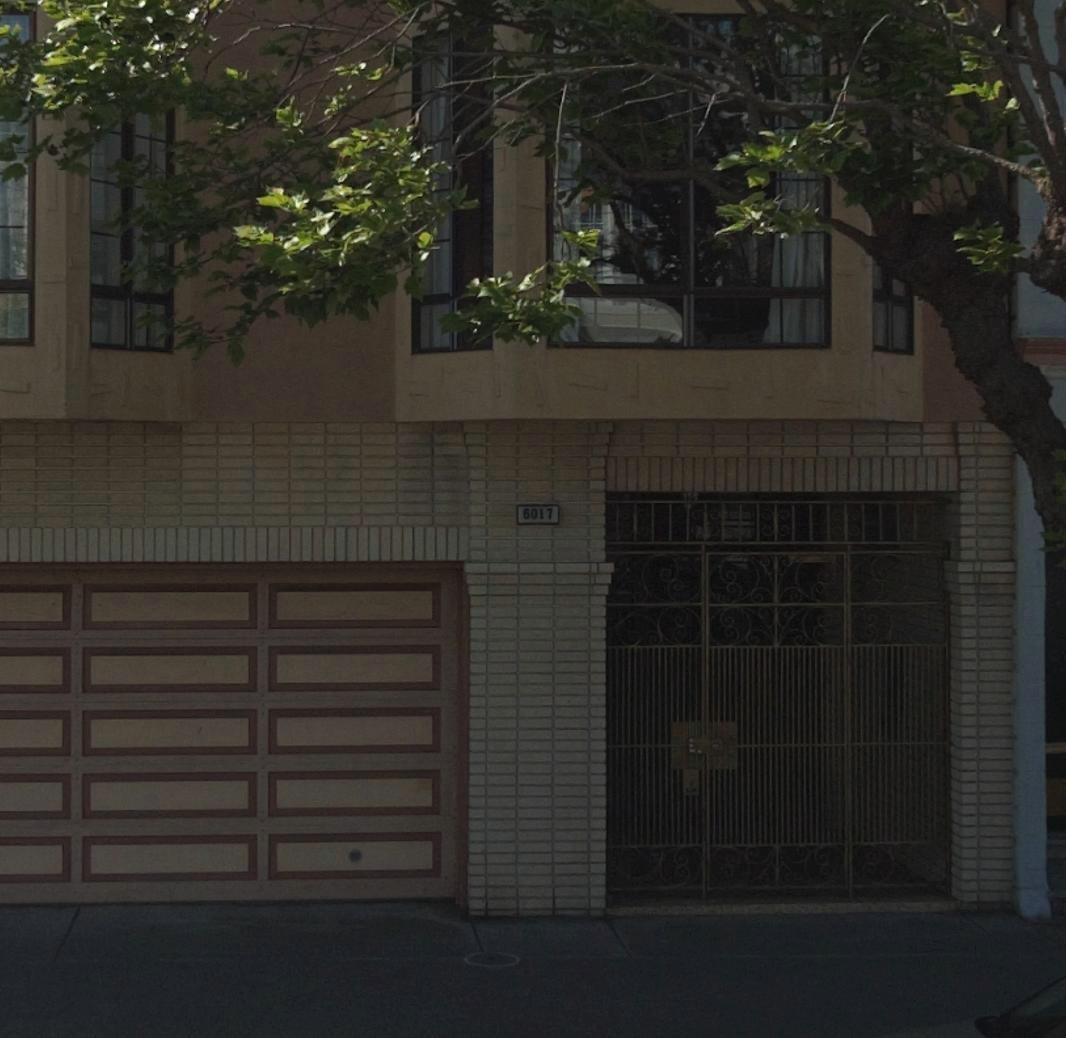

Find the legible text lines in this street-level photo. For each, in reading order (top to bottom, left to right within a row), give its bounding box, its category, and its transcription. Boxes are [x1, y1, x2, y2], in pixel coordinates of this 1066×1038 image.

[522, 506, 554, 521] StreetNumber: 6017